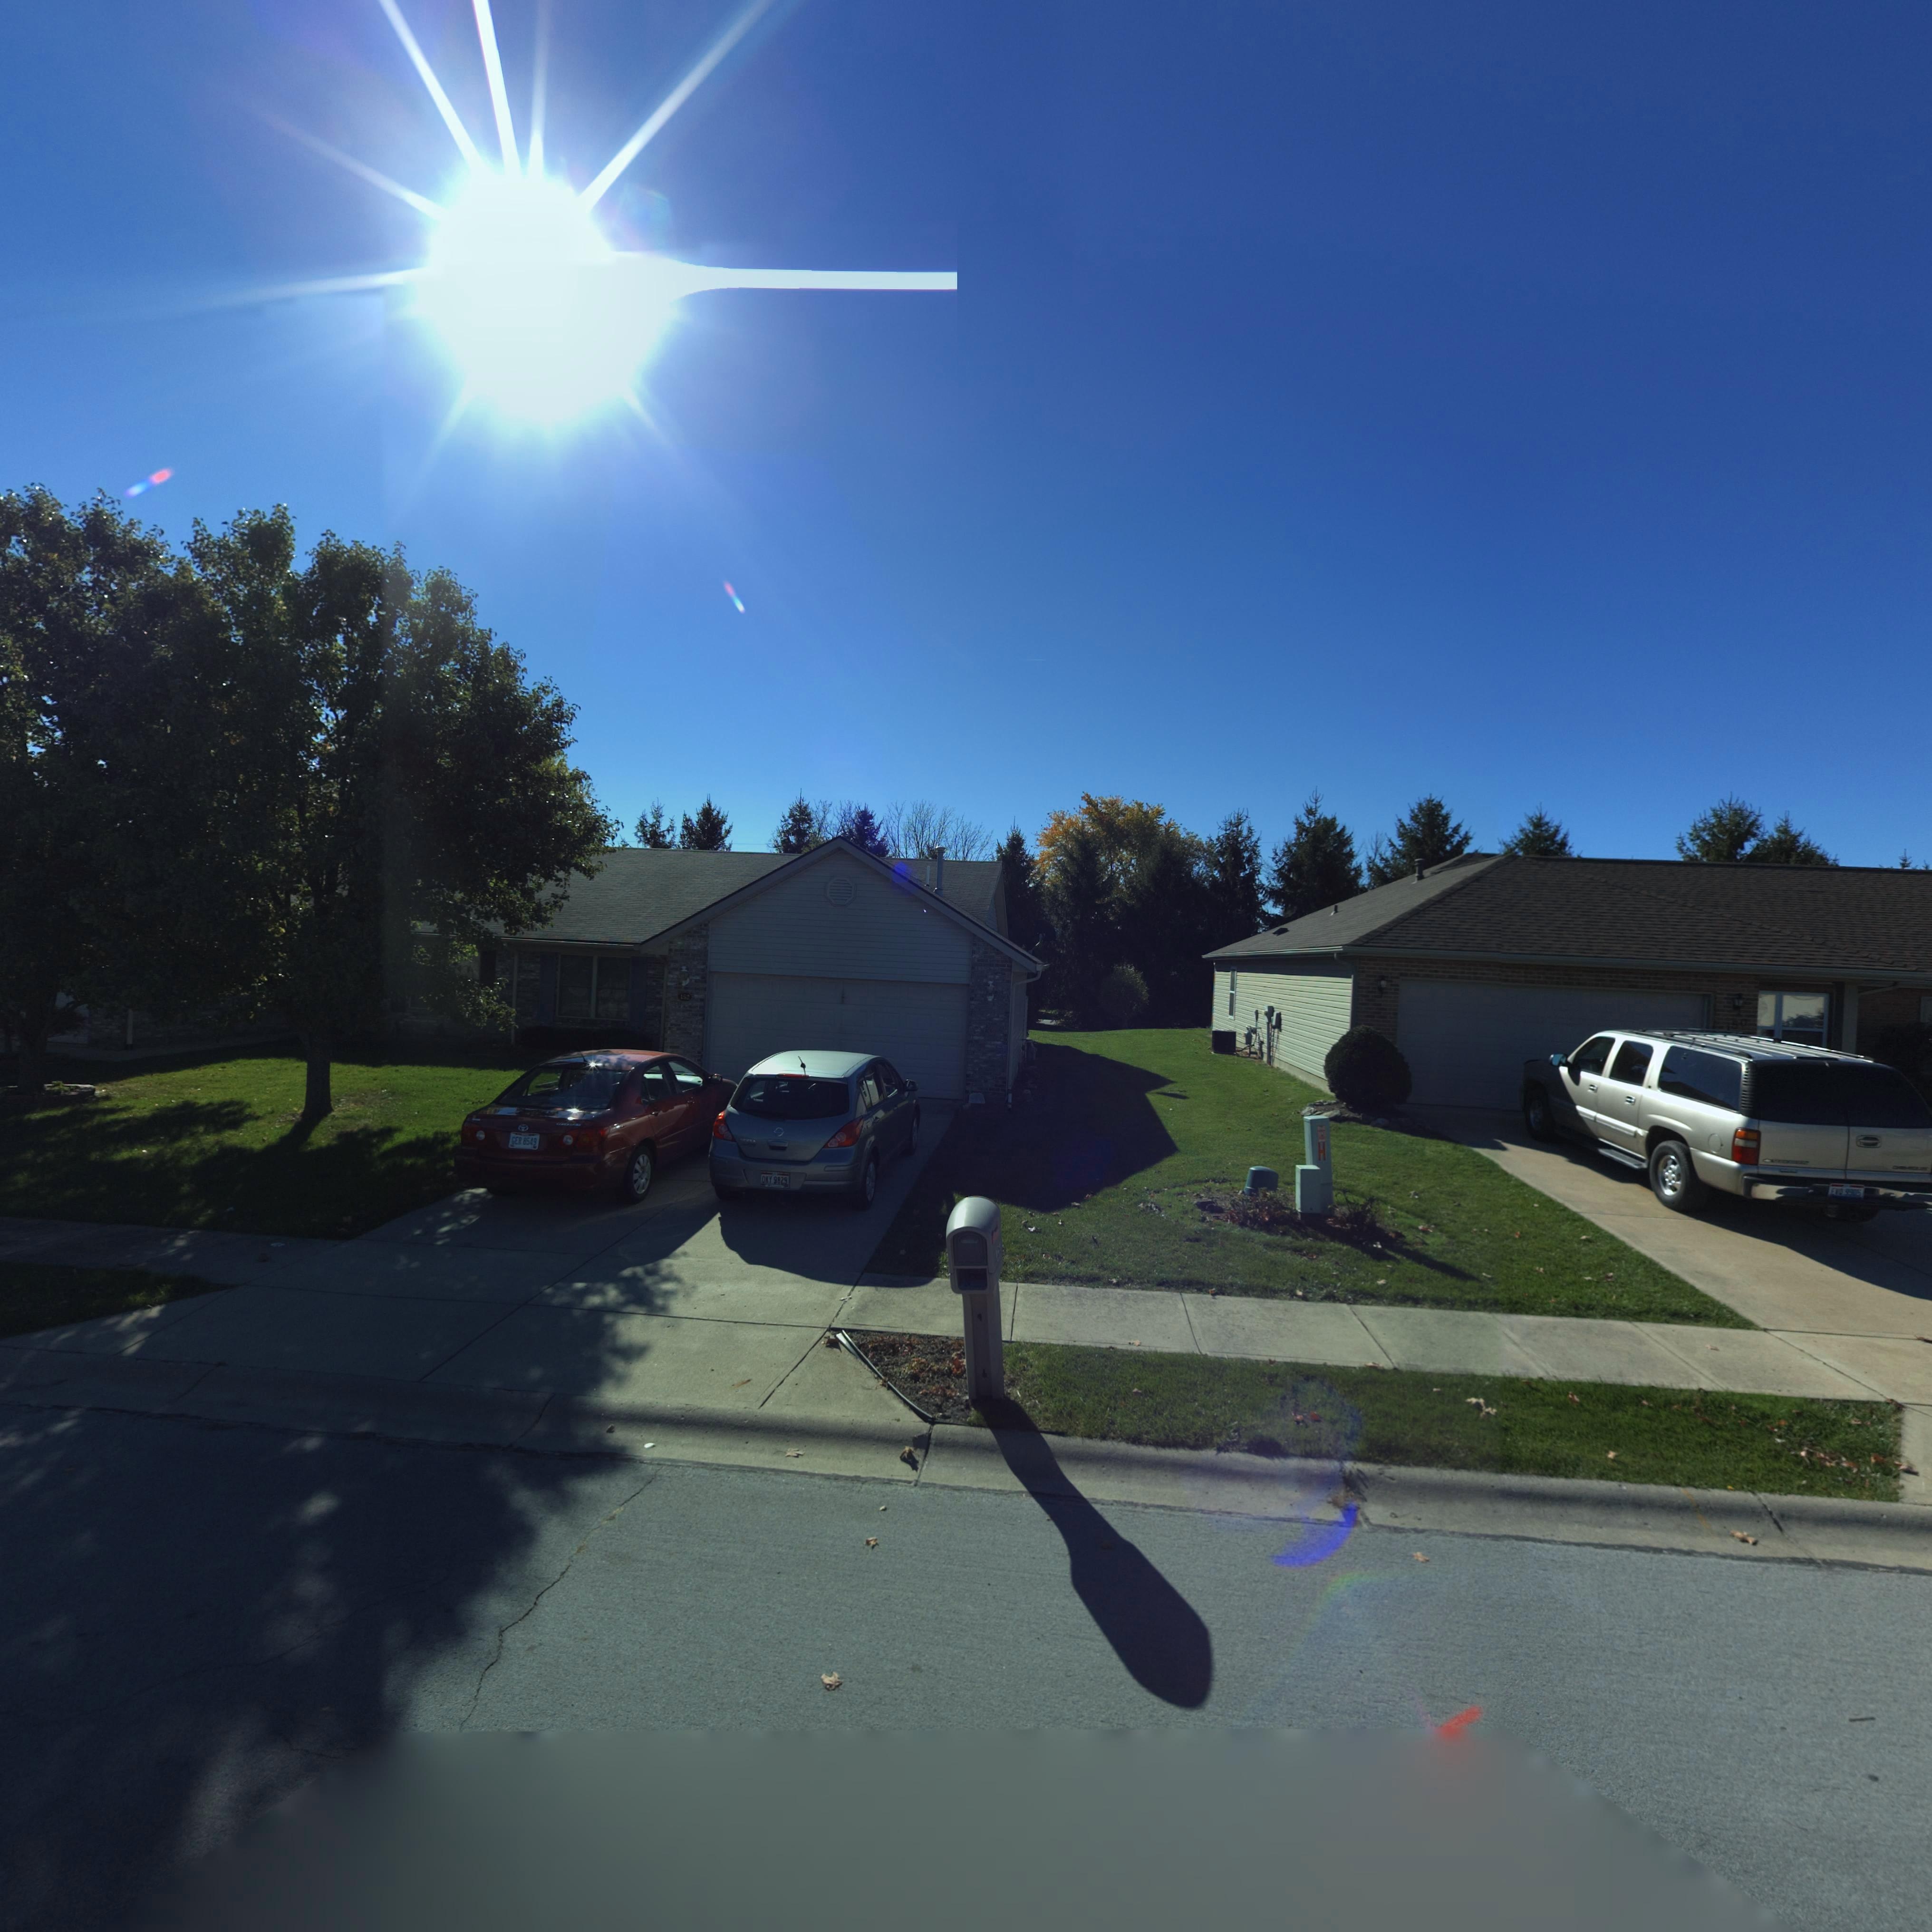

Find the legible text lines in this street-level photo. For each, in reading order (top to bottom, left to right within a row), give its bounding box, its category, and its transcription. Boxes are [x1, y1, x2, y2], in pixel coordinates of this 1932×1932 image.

[680, 994, 690, 1000] StreetNumber: 152
[510, 1135, 538, 1148] None: GER 8549
[761, 1174, 788, 1186] None: DKY 9829